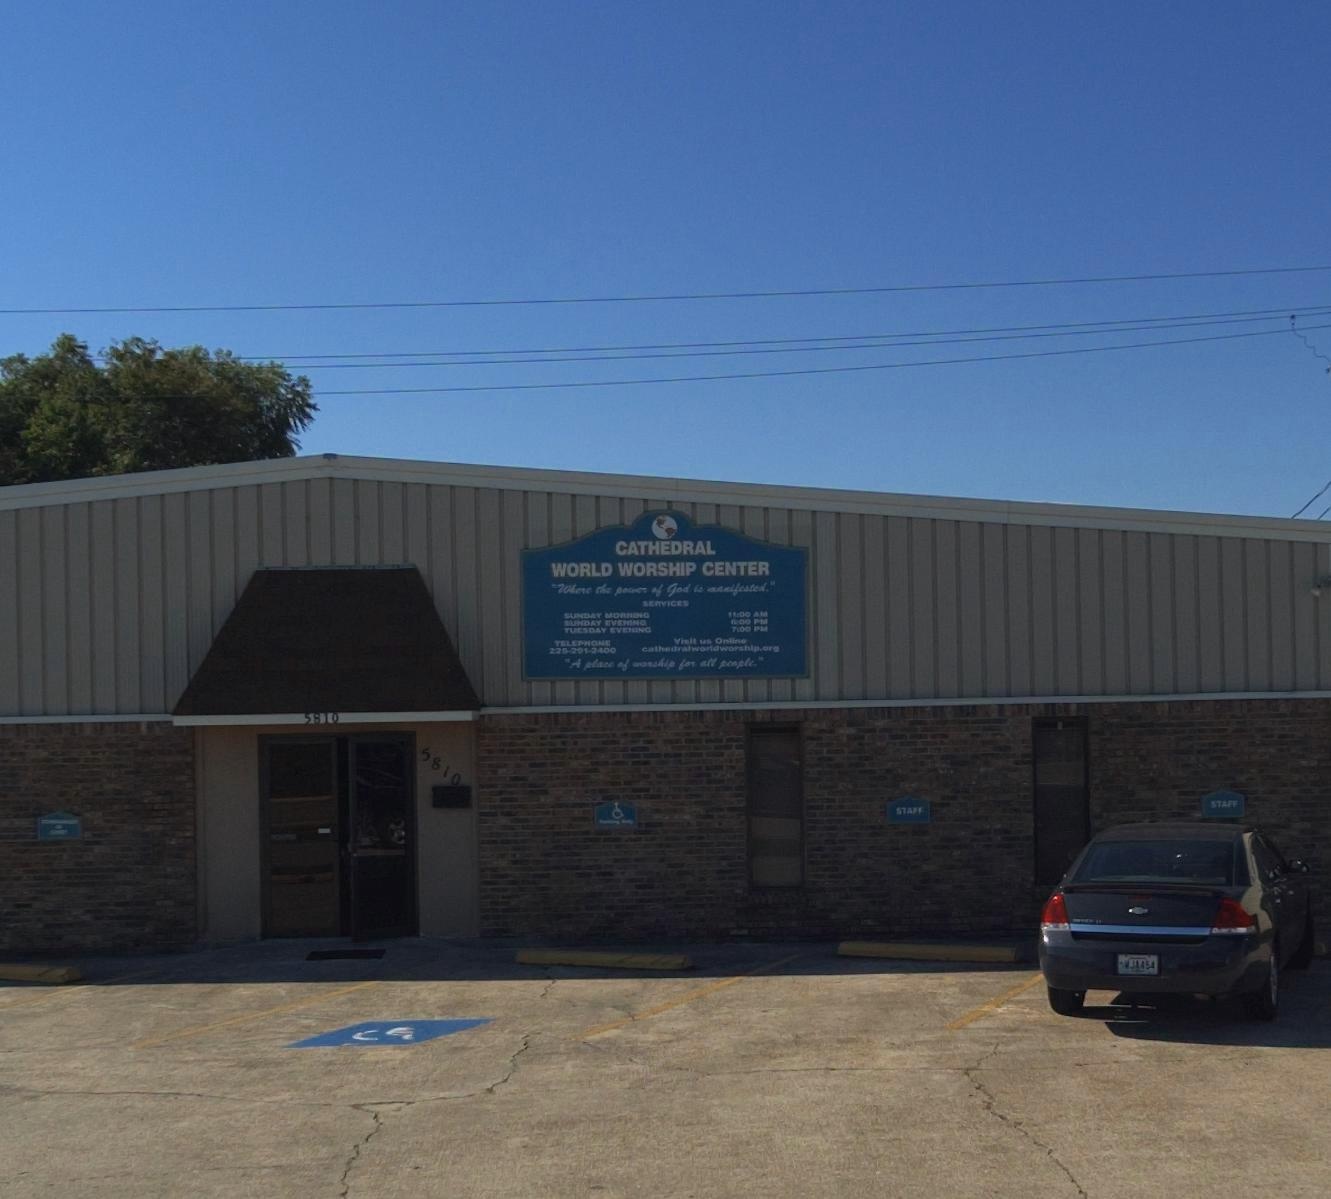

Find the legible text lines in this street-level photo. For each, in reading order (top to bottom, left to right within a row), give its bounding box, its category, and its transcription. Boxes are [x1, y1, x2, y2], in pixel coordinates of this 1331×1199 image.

[613, 538, 718, 558] BusinessName: CATHEDRAL
[547, 558, 772, 579] BusinessName: WORLD WORSHIP CENTER
[555, 579, 771, 600] None: Where the power of God is manifested.
[639, 598, 692, 610] None: SERVICES
[562, 618, 649, 628] None: SUNDAY EVENING
[562, 609, 653, 621] None: SUNDAY MORNING
[561, 625, 654, 636] None: TUESDAY EVENING
[726, 609, 770, 619] None: 11:00 AM
[729, 616, 770, 627] None: 6:00 PM
[729, 624, 770, 634] None: 7:00 PM
[551, 637, 613, 648] None: TELEPHONE
[547, 645, 619, 658] None: 225-201-2400
[669, 635, 749, 646] None: Visit us Online
[639, 643, 783, 655] None: cathedralworldworship.org
[565, 655, 760, 673] None: A place of ****hip for all people
[302, 710, 341, 726] StreetNumber: 5810
[418, 743, 465, 789] StreetNumber: 5810
[894, 804, 927, 817] None: STAFF
[1208, 797, 1242, 811] None: STAFF
[1137, 957, 1158, 973] None: 454